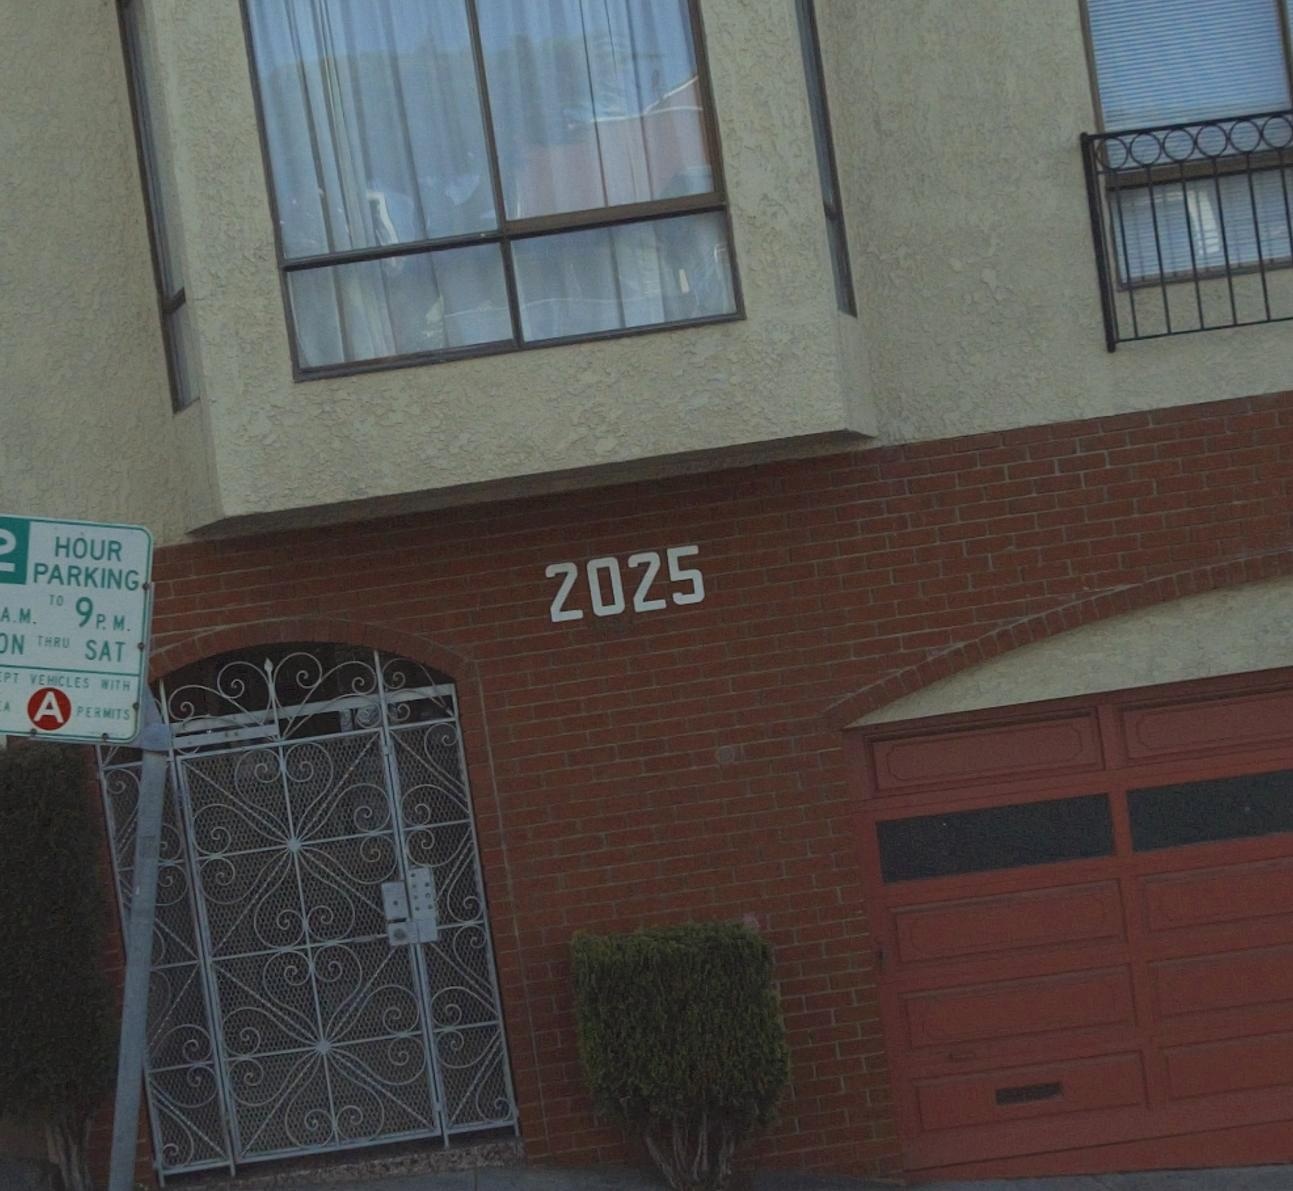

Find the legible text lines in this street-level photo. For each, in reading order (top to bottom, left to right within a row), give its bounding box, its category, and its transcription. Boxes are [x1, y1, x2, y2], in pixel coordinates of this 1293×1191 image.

[52, 534, 124, 564] None: HOUR
[31, 560, 142, 592] None: PARKING
[539, 540, 709, 628] StreetNumber: 2025
[46, 592, 67, 609] None: TO
[0, 605, 38, 627] None: A.M.
[74, 595, 133, 634] None: 9P.M.
[10, 631, 26, 657] None: N
[35, 633, 74, 651] None: THRU
[83, 637, 129, 664] None: SAT
[2, 669, 131, 693] None: PT VEHICLES WITH
[2, 699, 13, 715] None: A
[28, 689, 67, 726] None: A
[74, 703, 133, 722] None: PERMITS